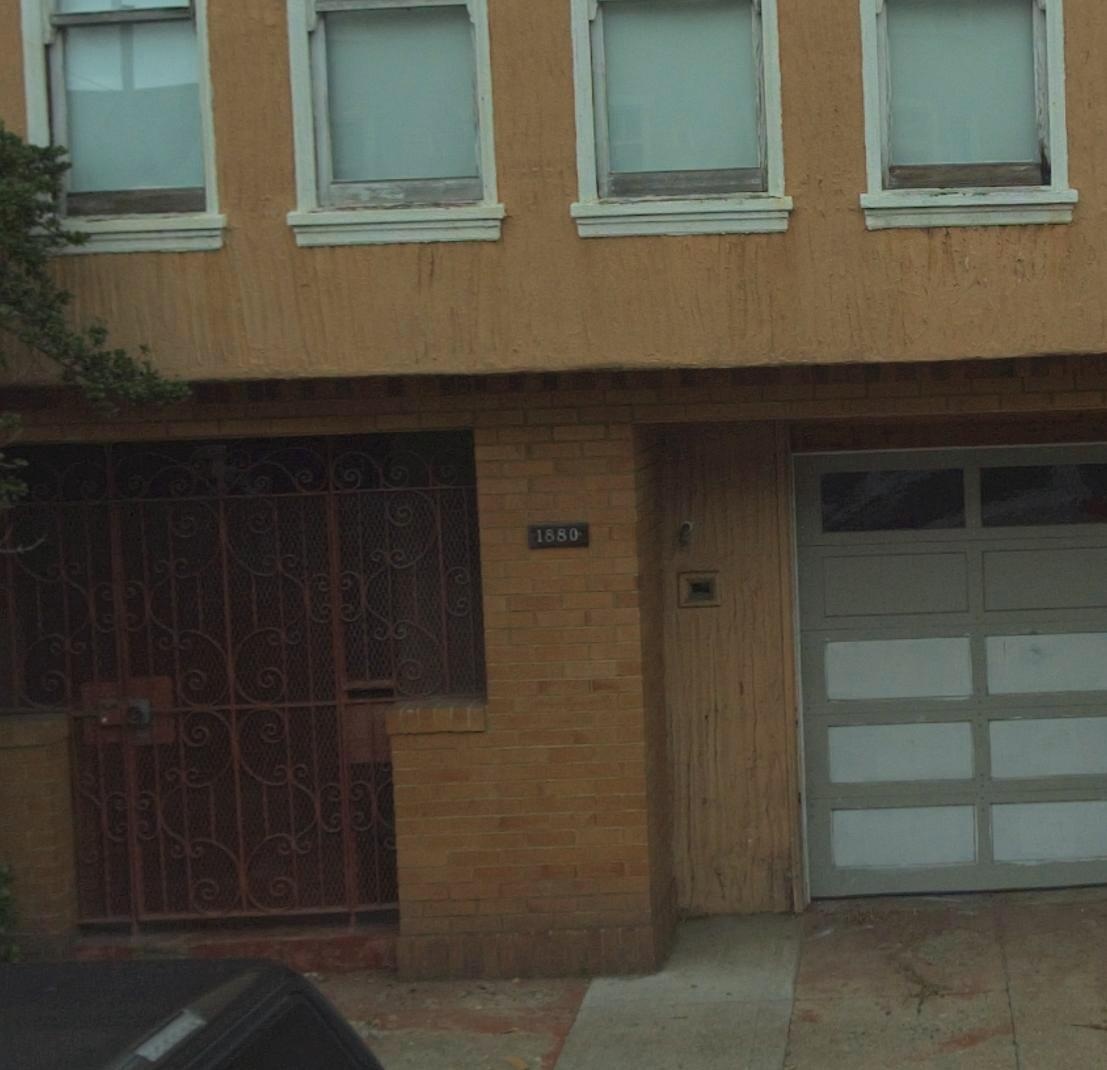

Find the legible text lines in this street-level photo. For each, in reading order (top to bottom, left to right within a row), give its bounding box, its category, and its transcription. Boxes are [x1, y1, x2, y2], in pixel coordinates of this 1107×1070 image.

[533, 526, 580, 544] StreetNumber: 1880